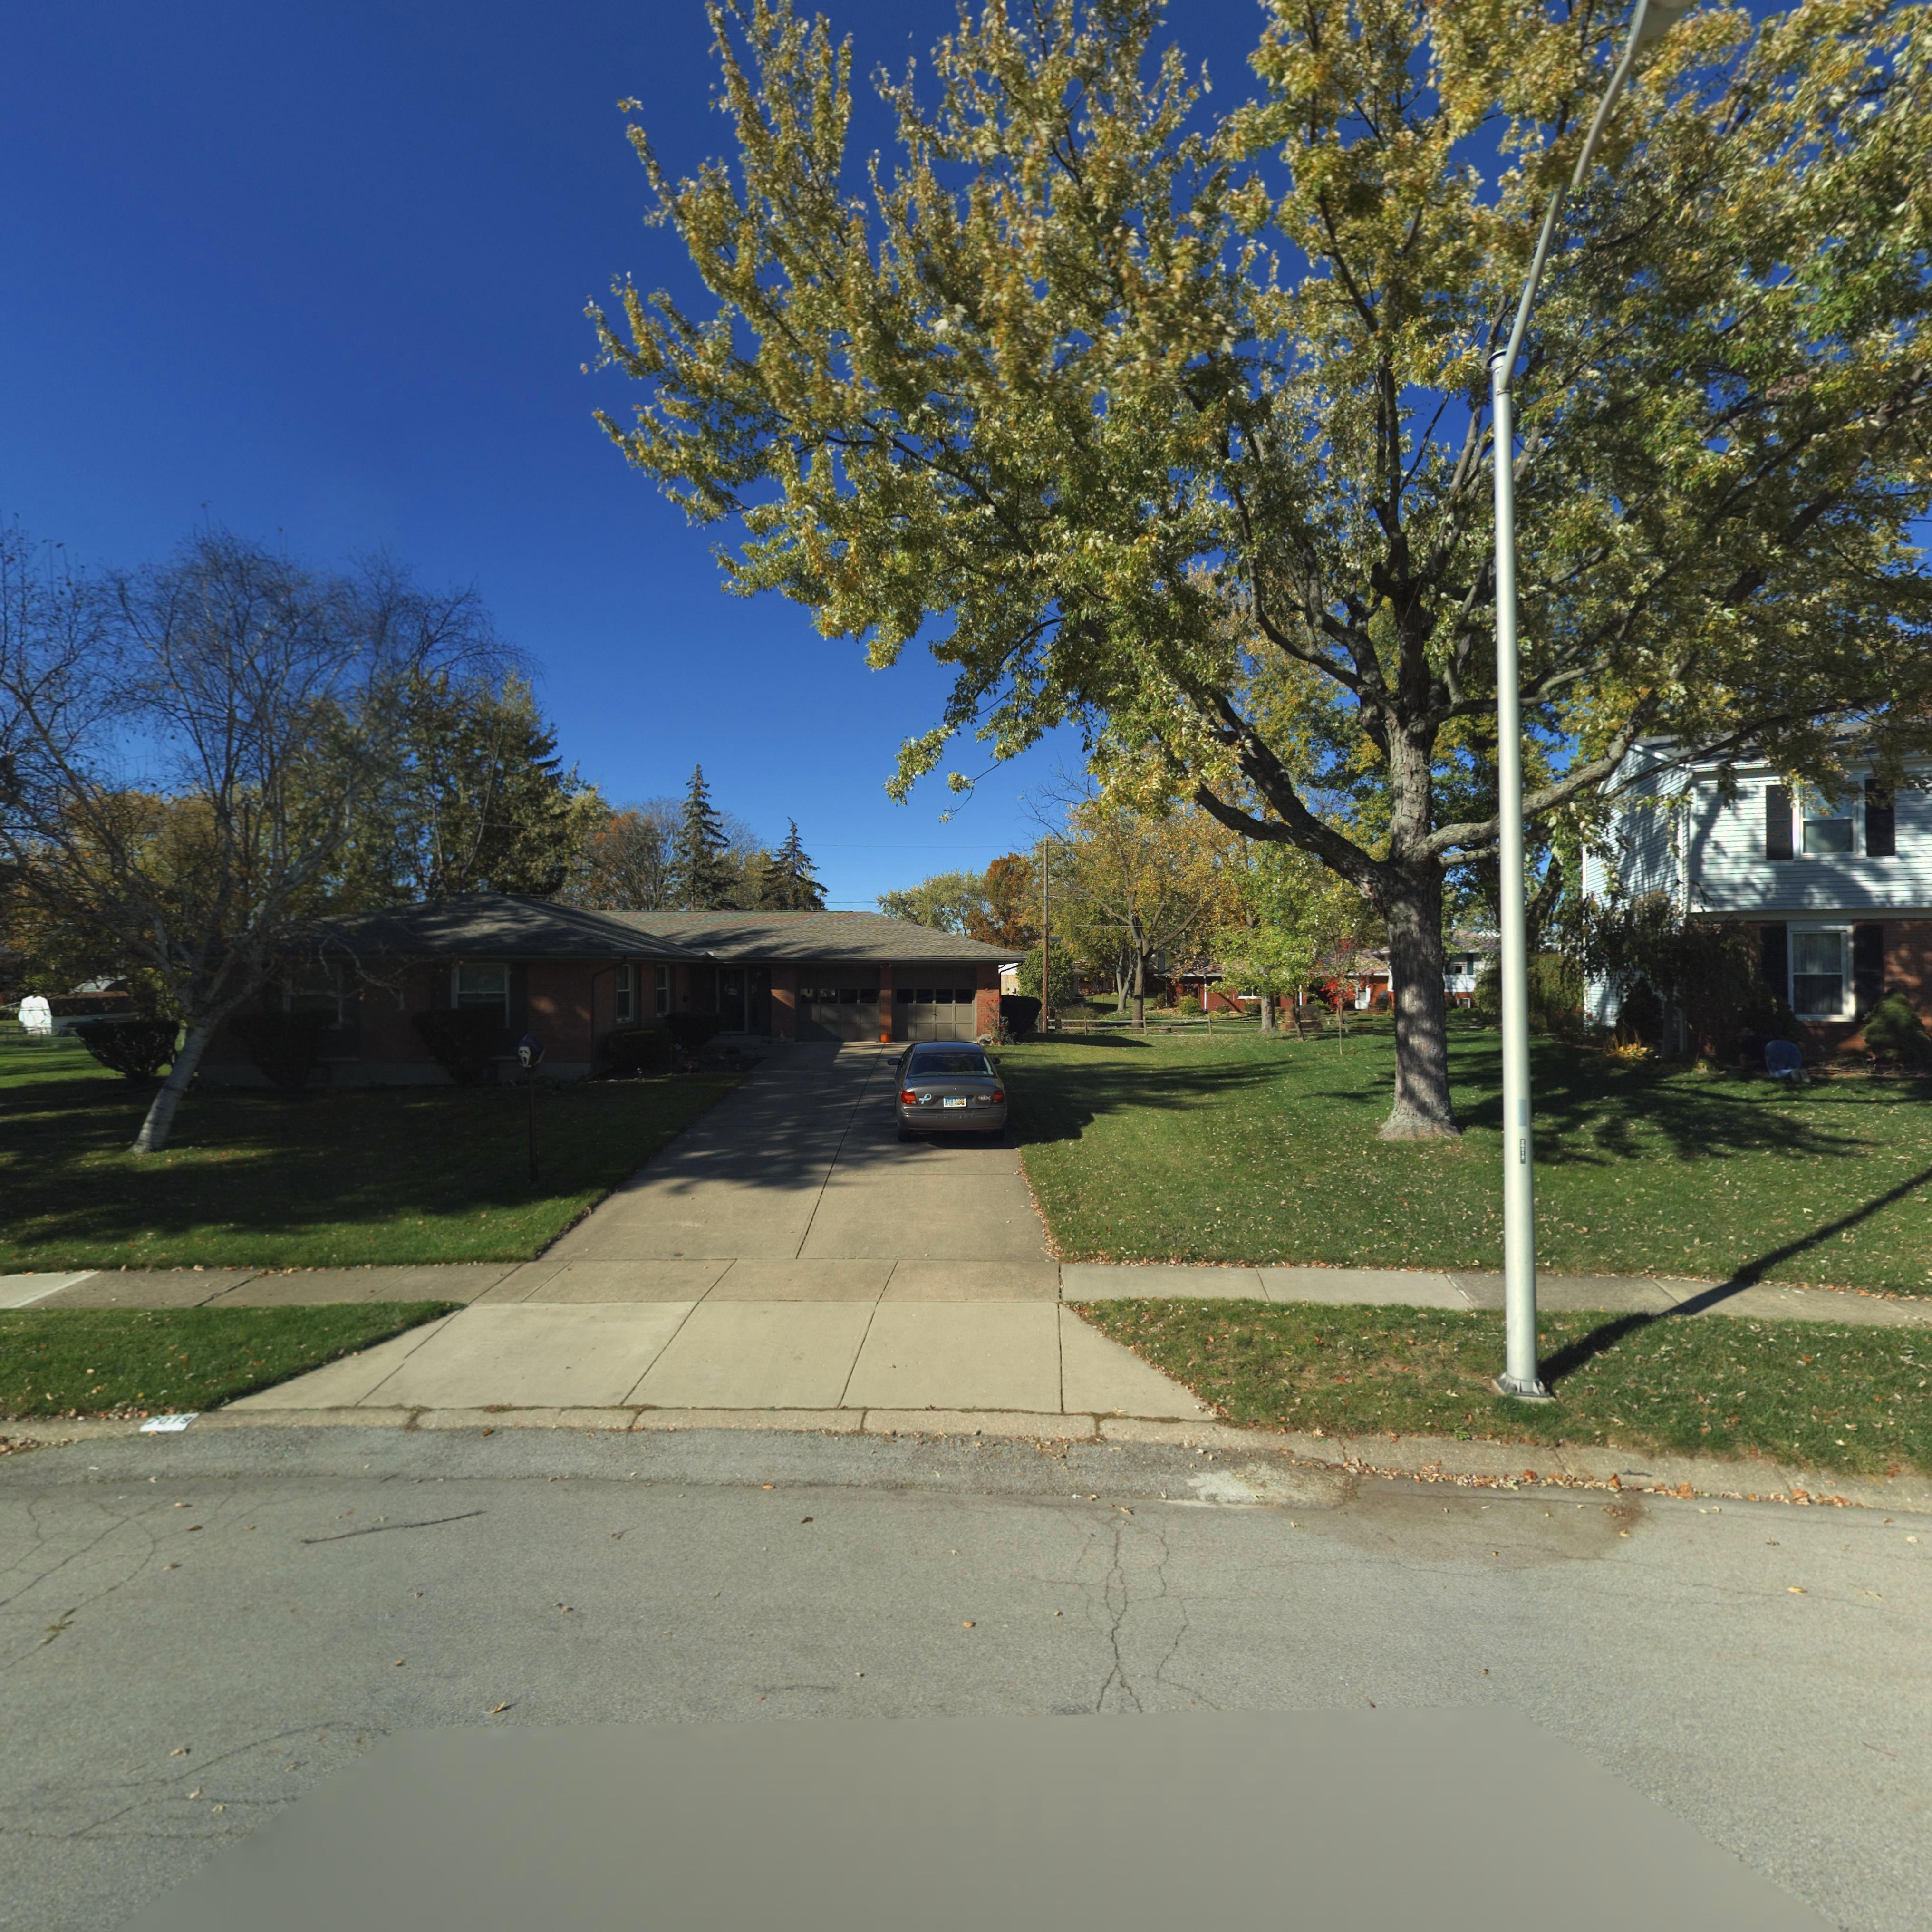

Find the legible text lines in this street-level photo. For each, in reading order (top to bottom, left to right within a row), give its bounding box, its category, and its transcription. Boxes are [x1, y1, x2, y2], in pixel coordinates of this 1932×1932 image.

[144, 1414, 195, 1427] StreetNumber: *019